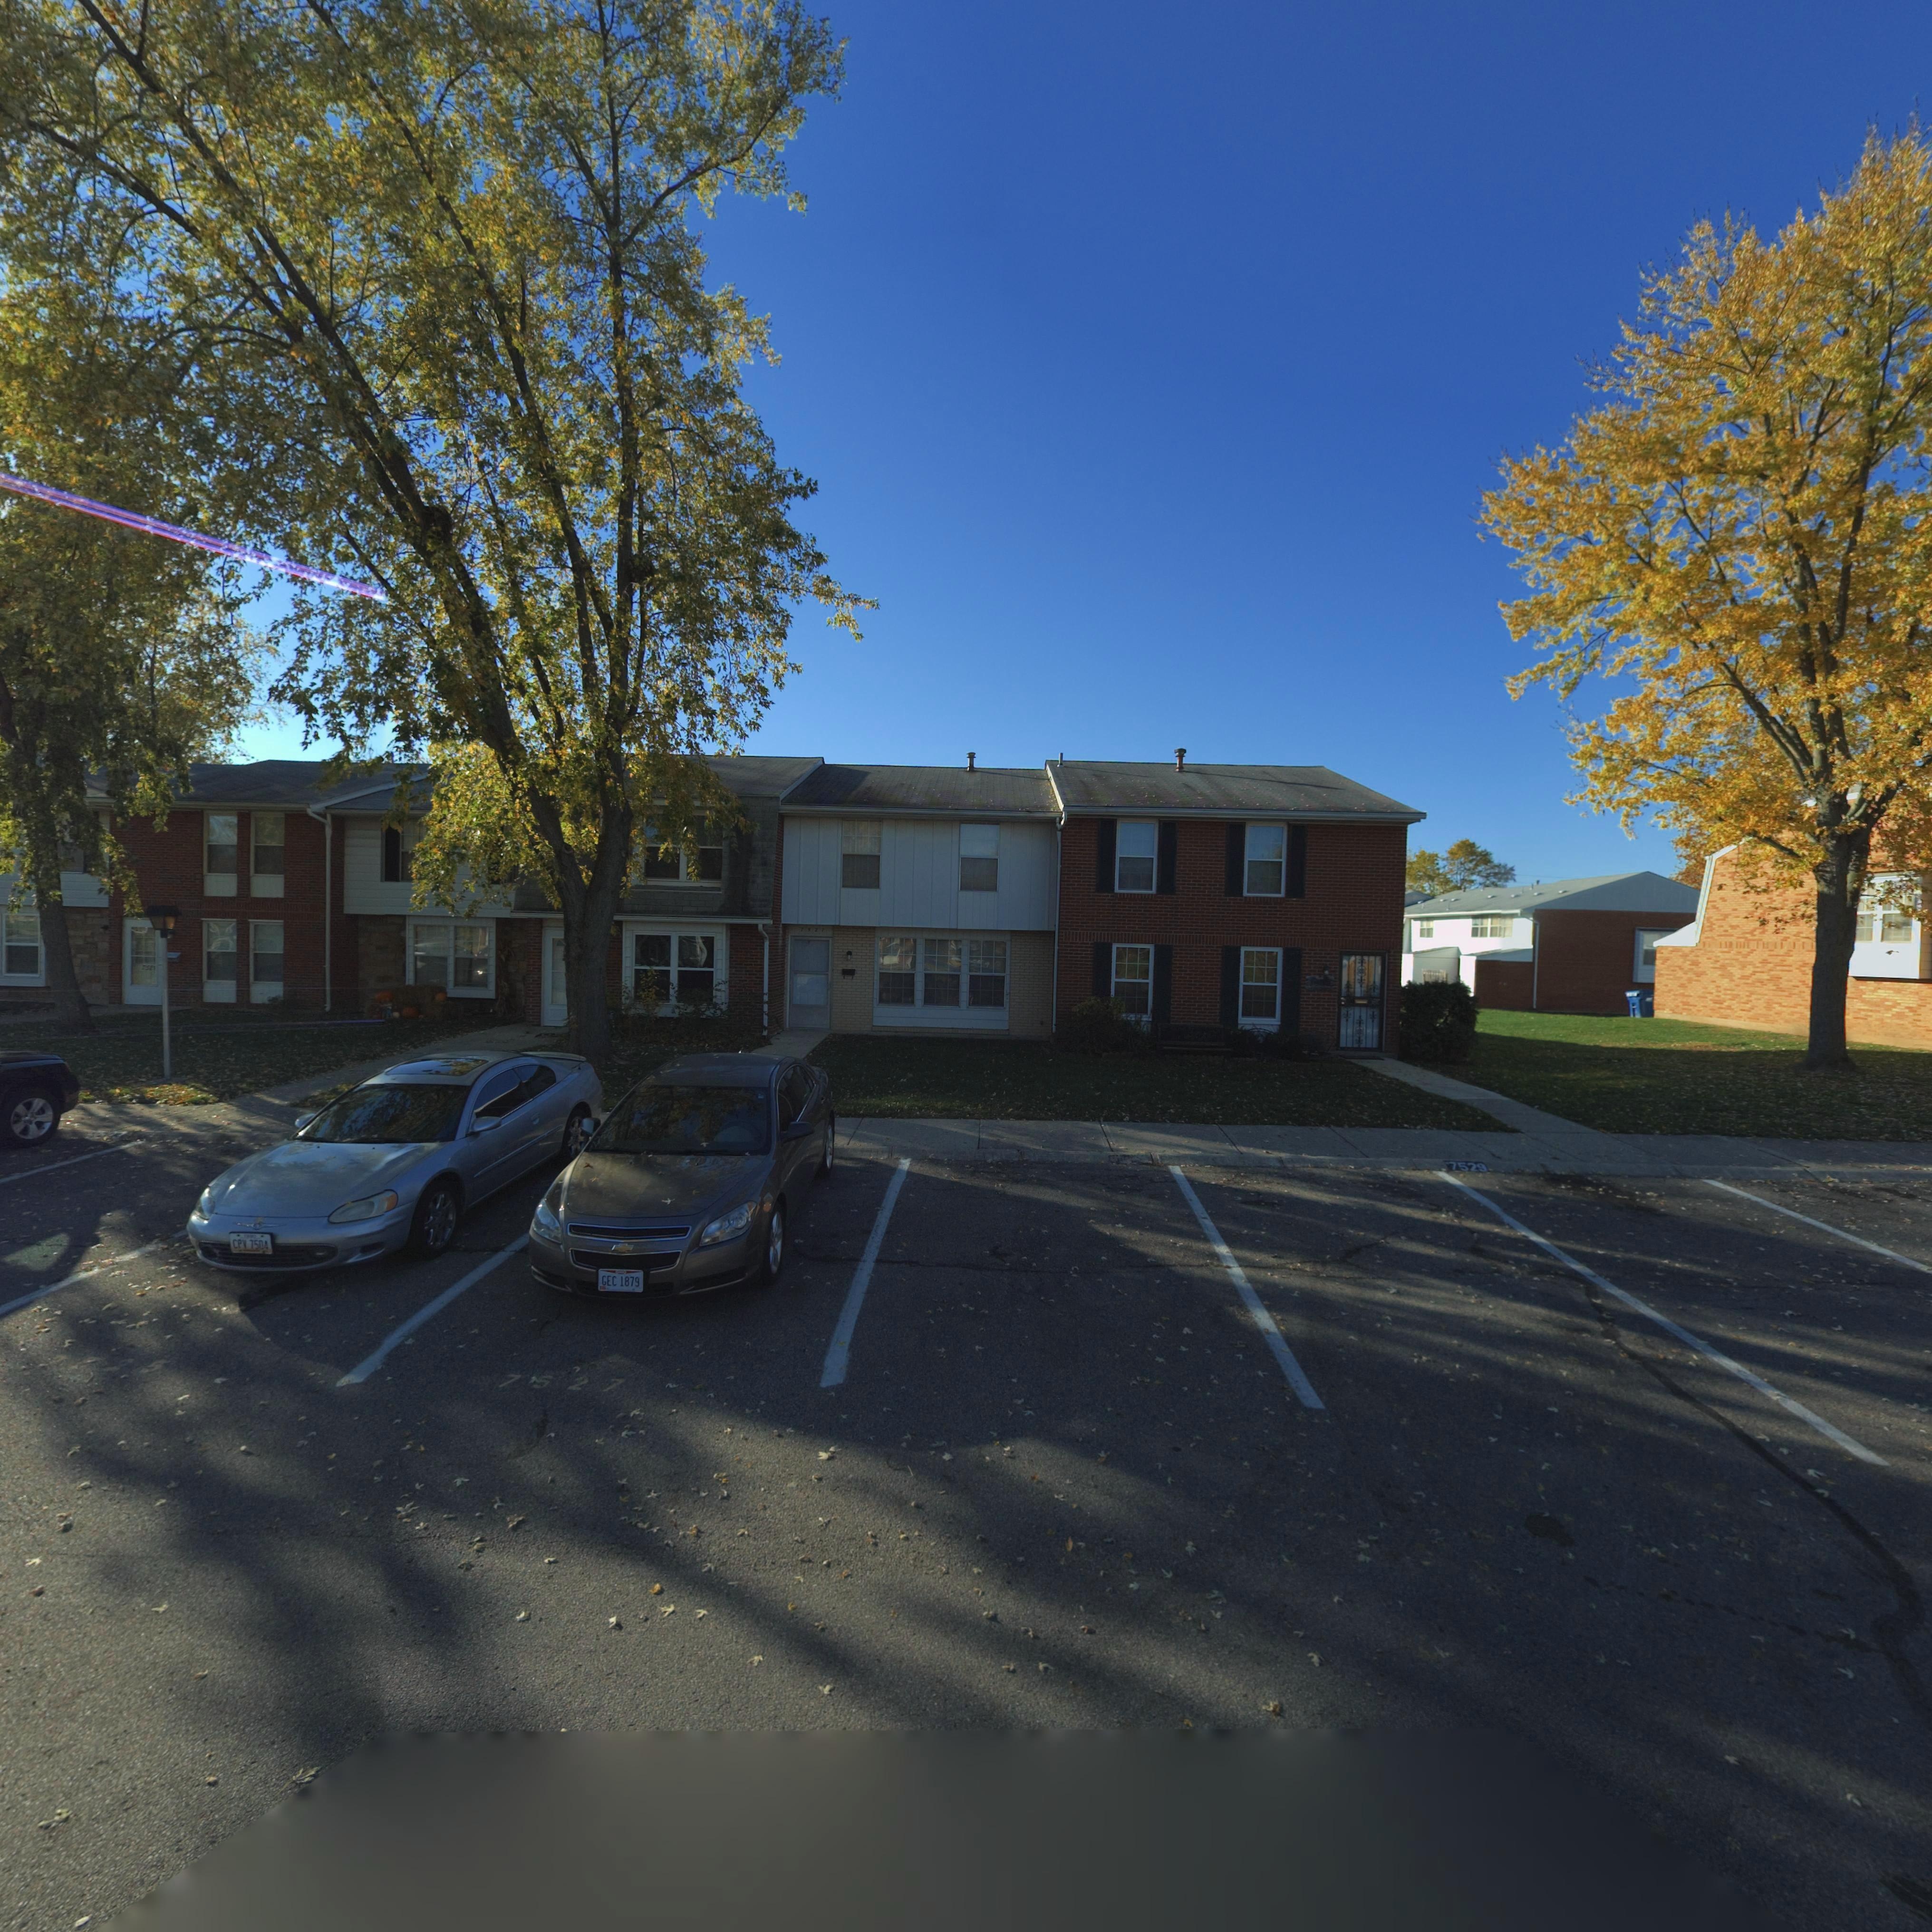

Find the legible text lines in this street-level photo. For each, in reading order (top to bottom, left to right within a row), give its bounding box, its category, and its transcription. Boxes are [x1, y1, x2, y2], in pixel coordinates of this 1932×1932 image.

[800, 927, 826, 932] StreetNumber: 7527
[140, 965, 156, 972] StreetNumber: 7521
[1448, 1161, 1488, 1172] StreetNumber: 7529